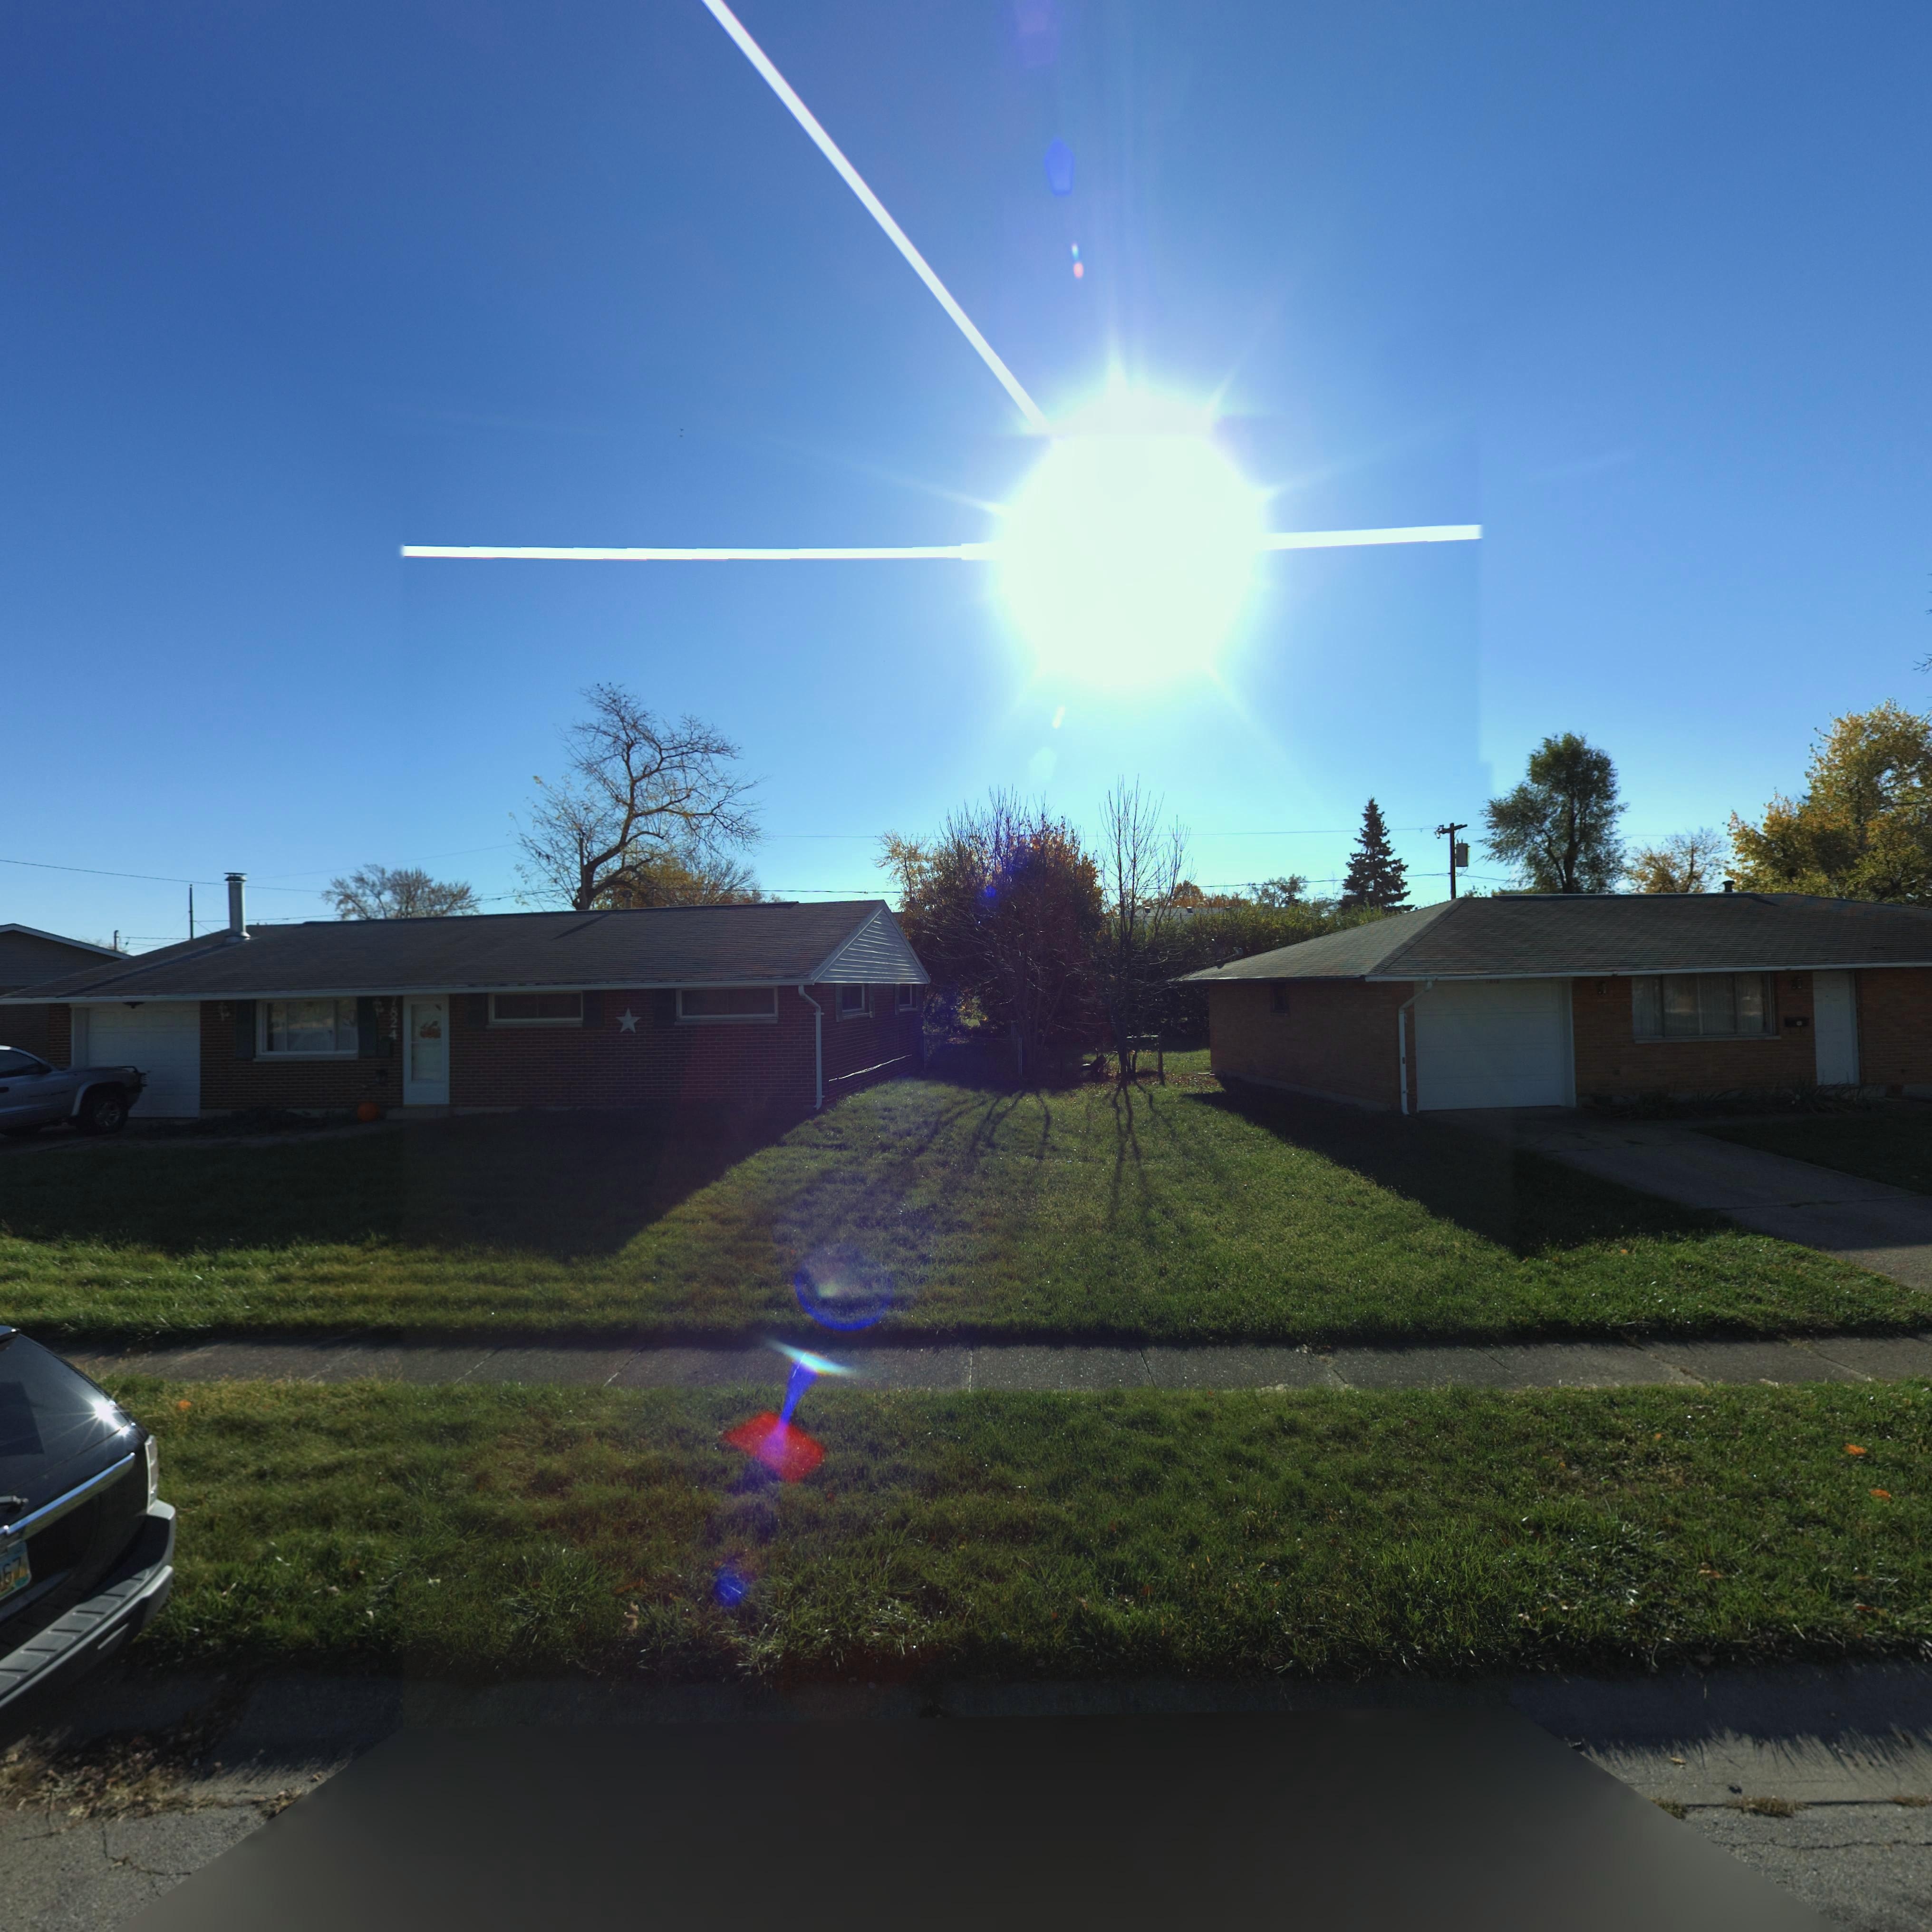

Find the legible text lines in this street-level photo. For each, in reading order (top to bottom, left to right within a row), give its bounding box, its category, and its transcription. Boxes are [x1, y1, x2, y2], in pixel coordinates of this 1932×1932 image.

[1485, 978, 1501, 984] StreetNumber: *818
[388, 995, 399, 1041] StreetNumber: 7824